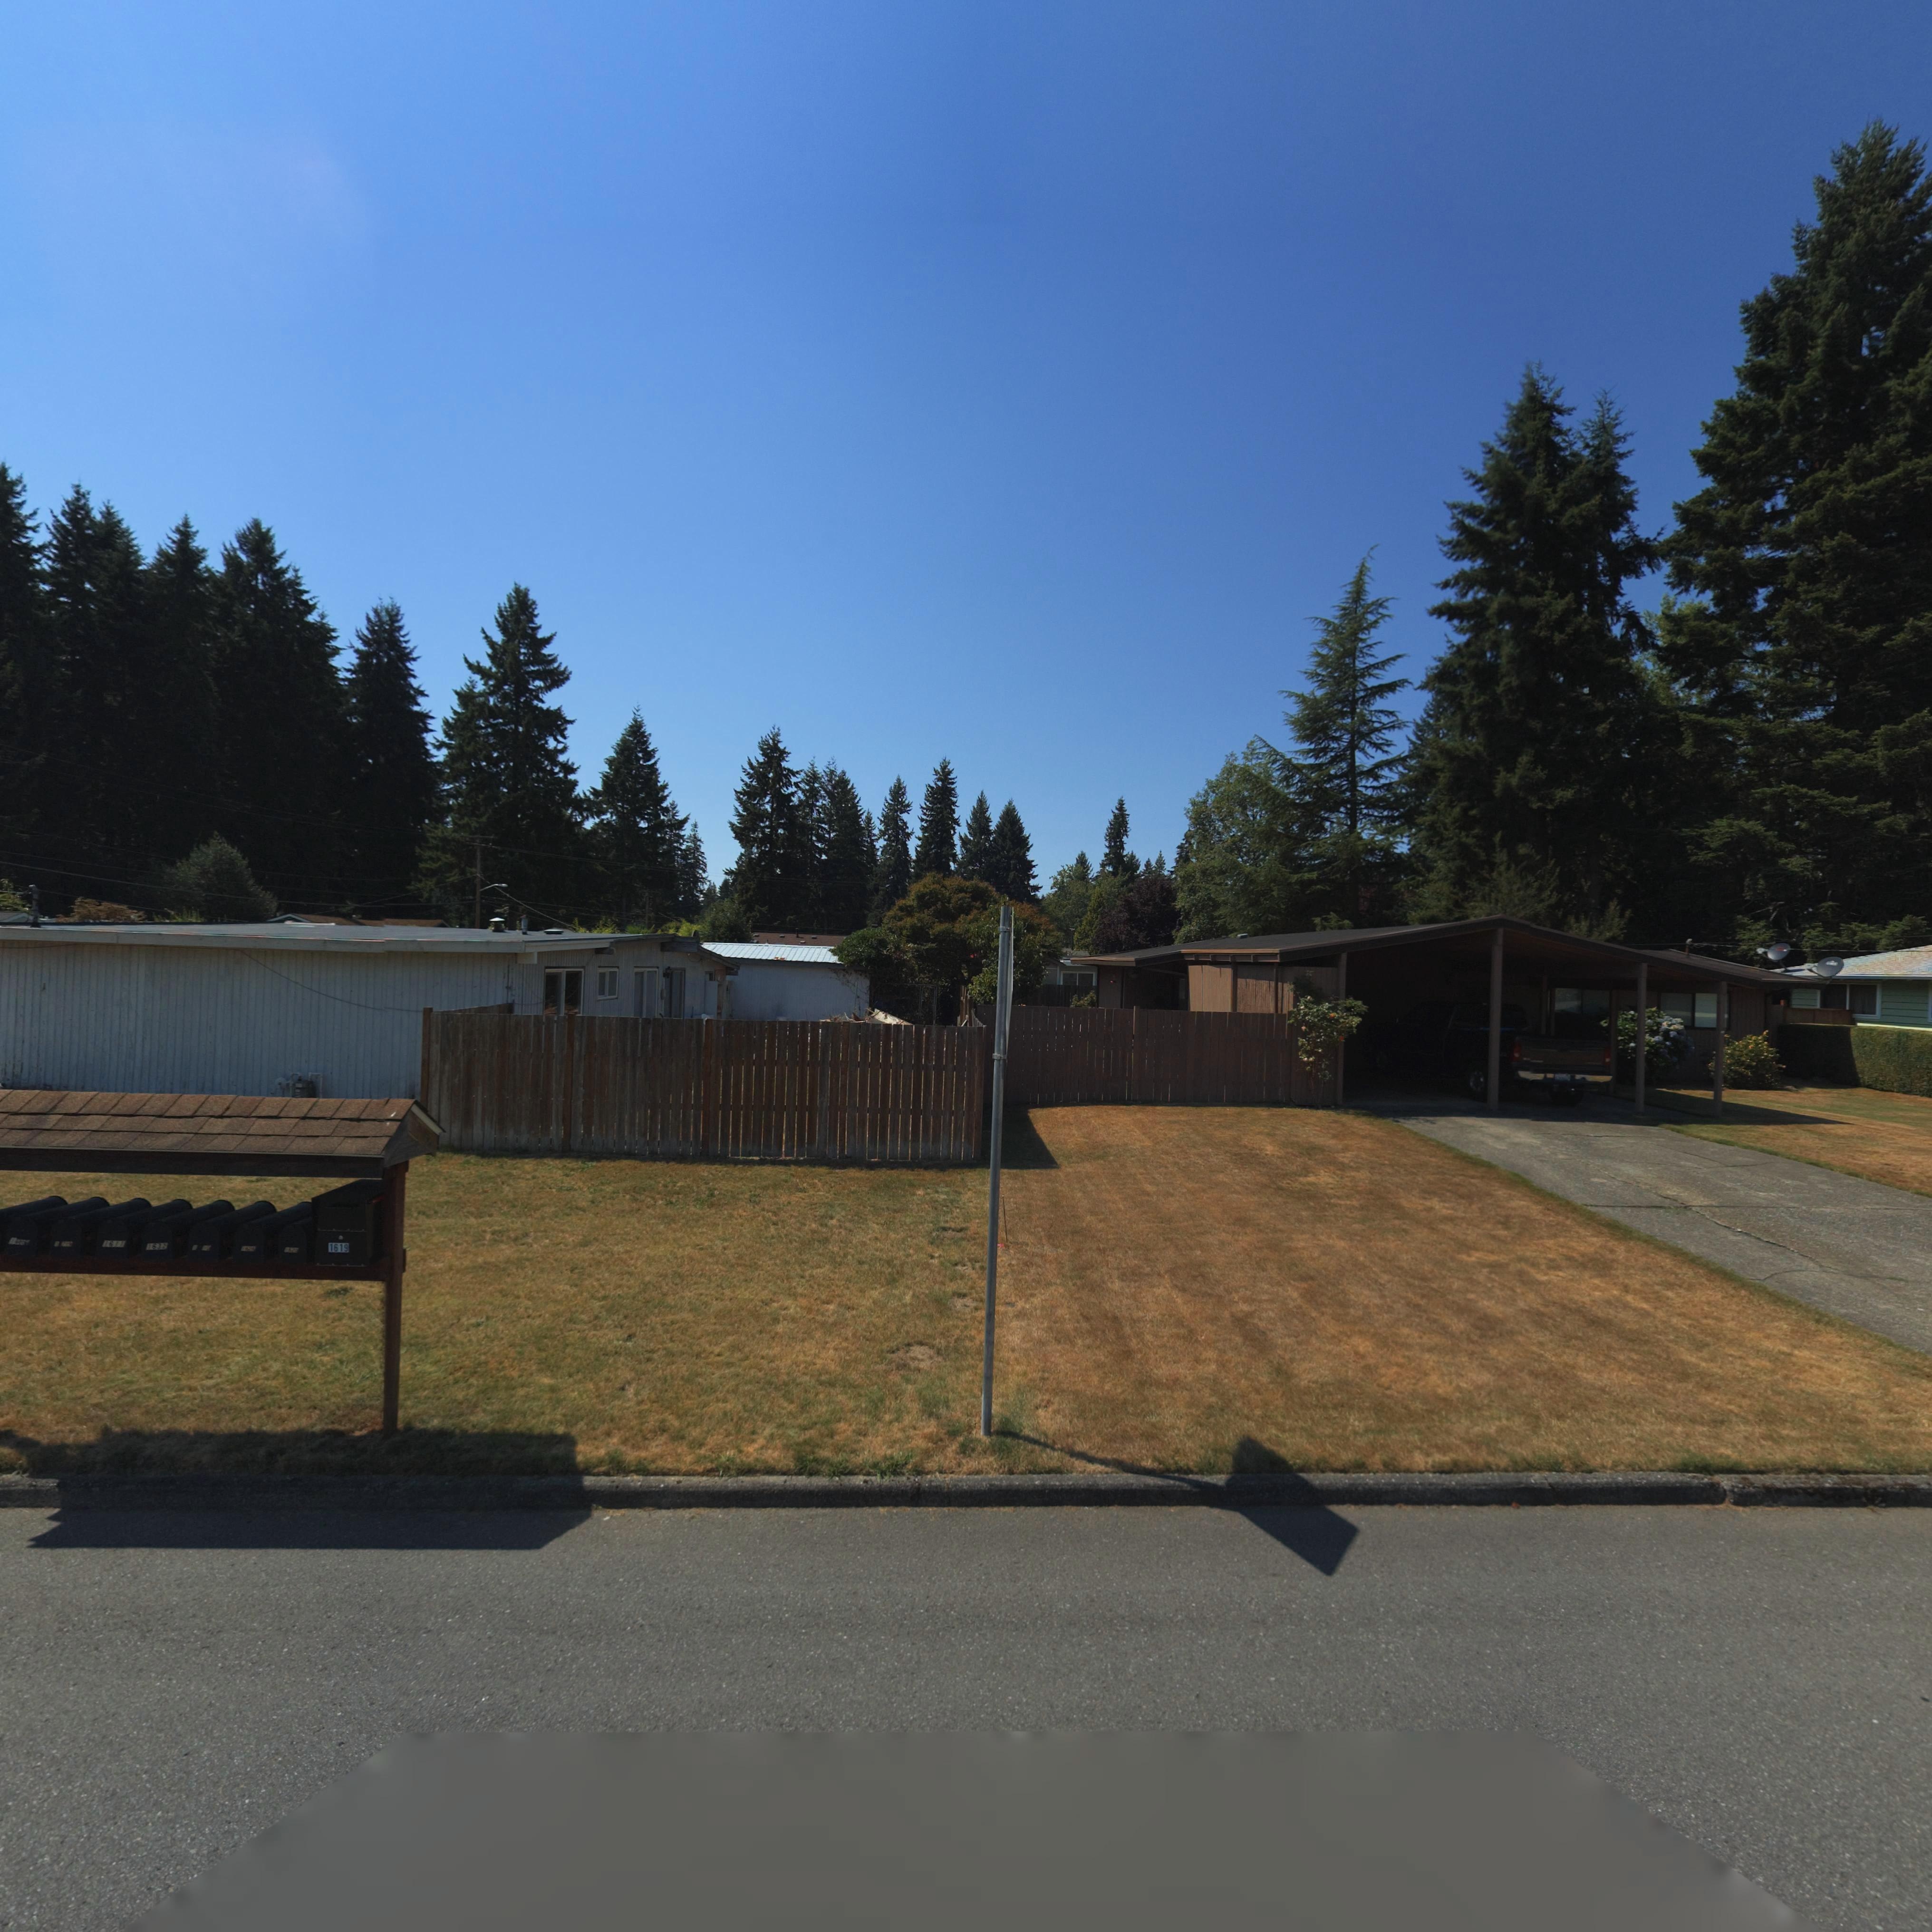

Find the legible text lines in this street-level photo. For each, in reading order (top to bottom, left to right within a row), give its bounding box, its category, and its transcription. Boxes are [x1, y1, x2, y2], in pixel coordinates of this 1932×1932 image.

[327, 1242, 350, 1253] StreetNumber: 1619